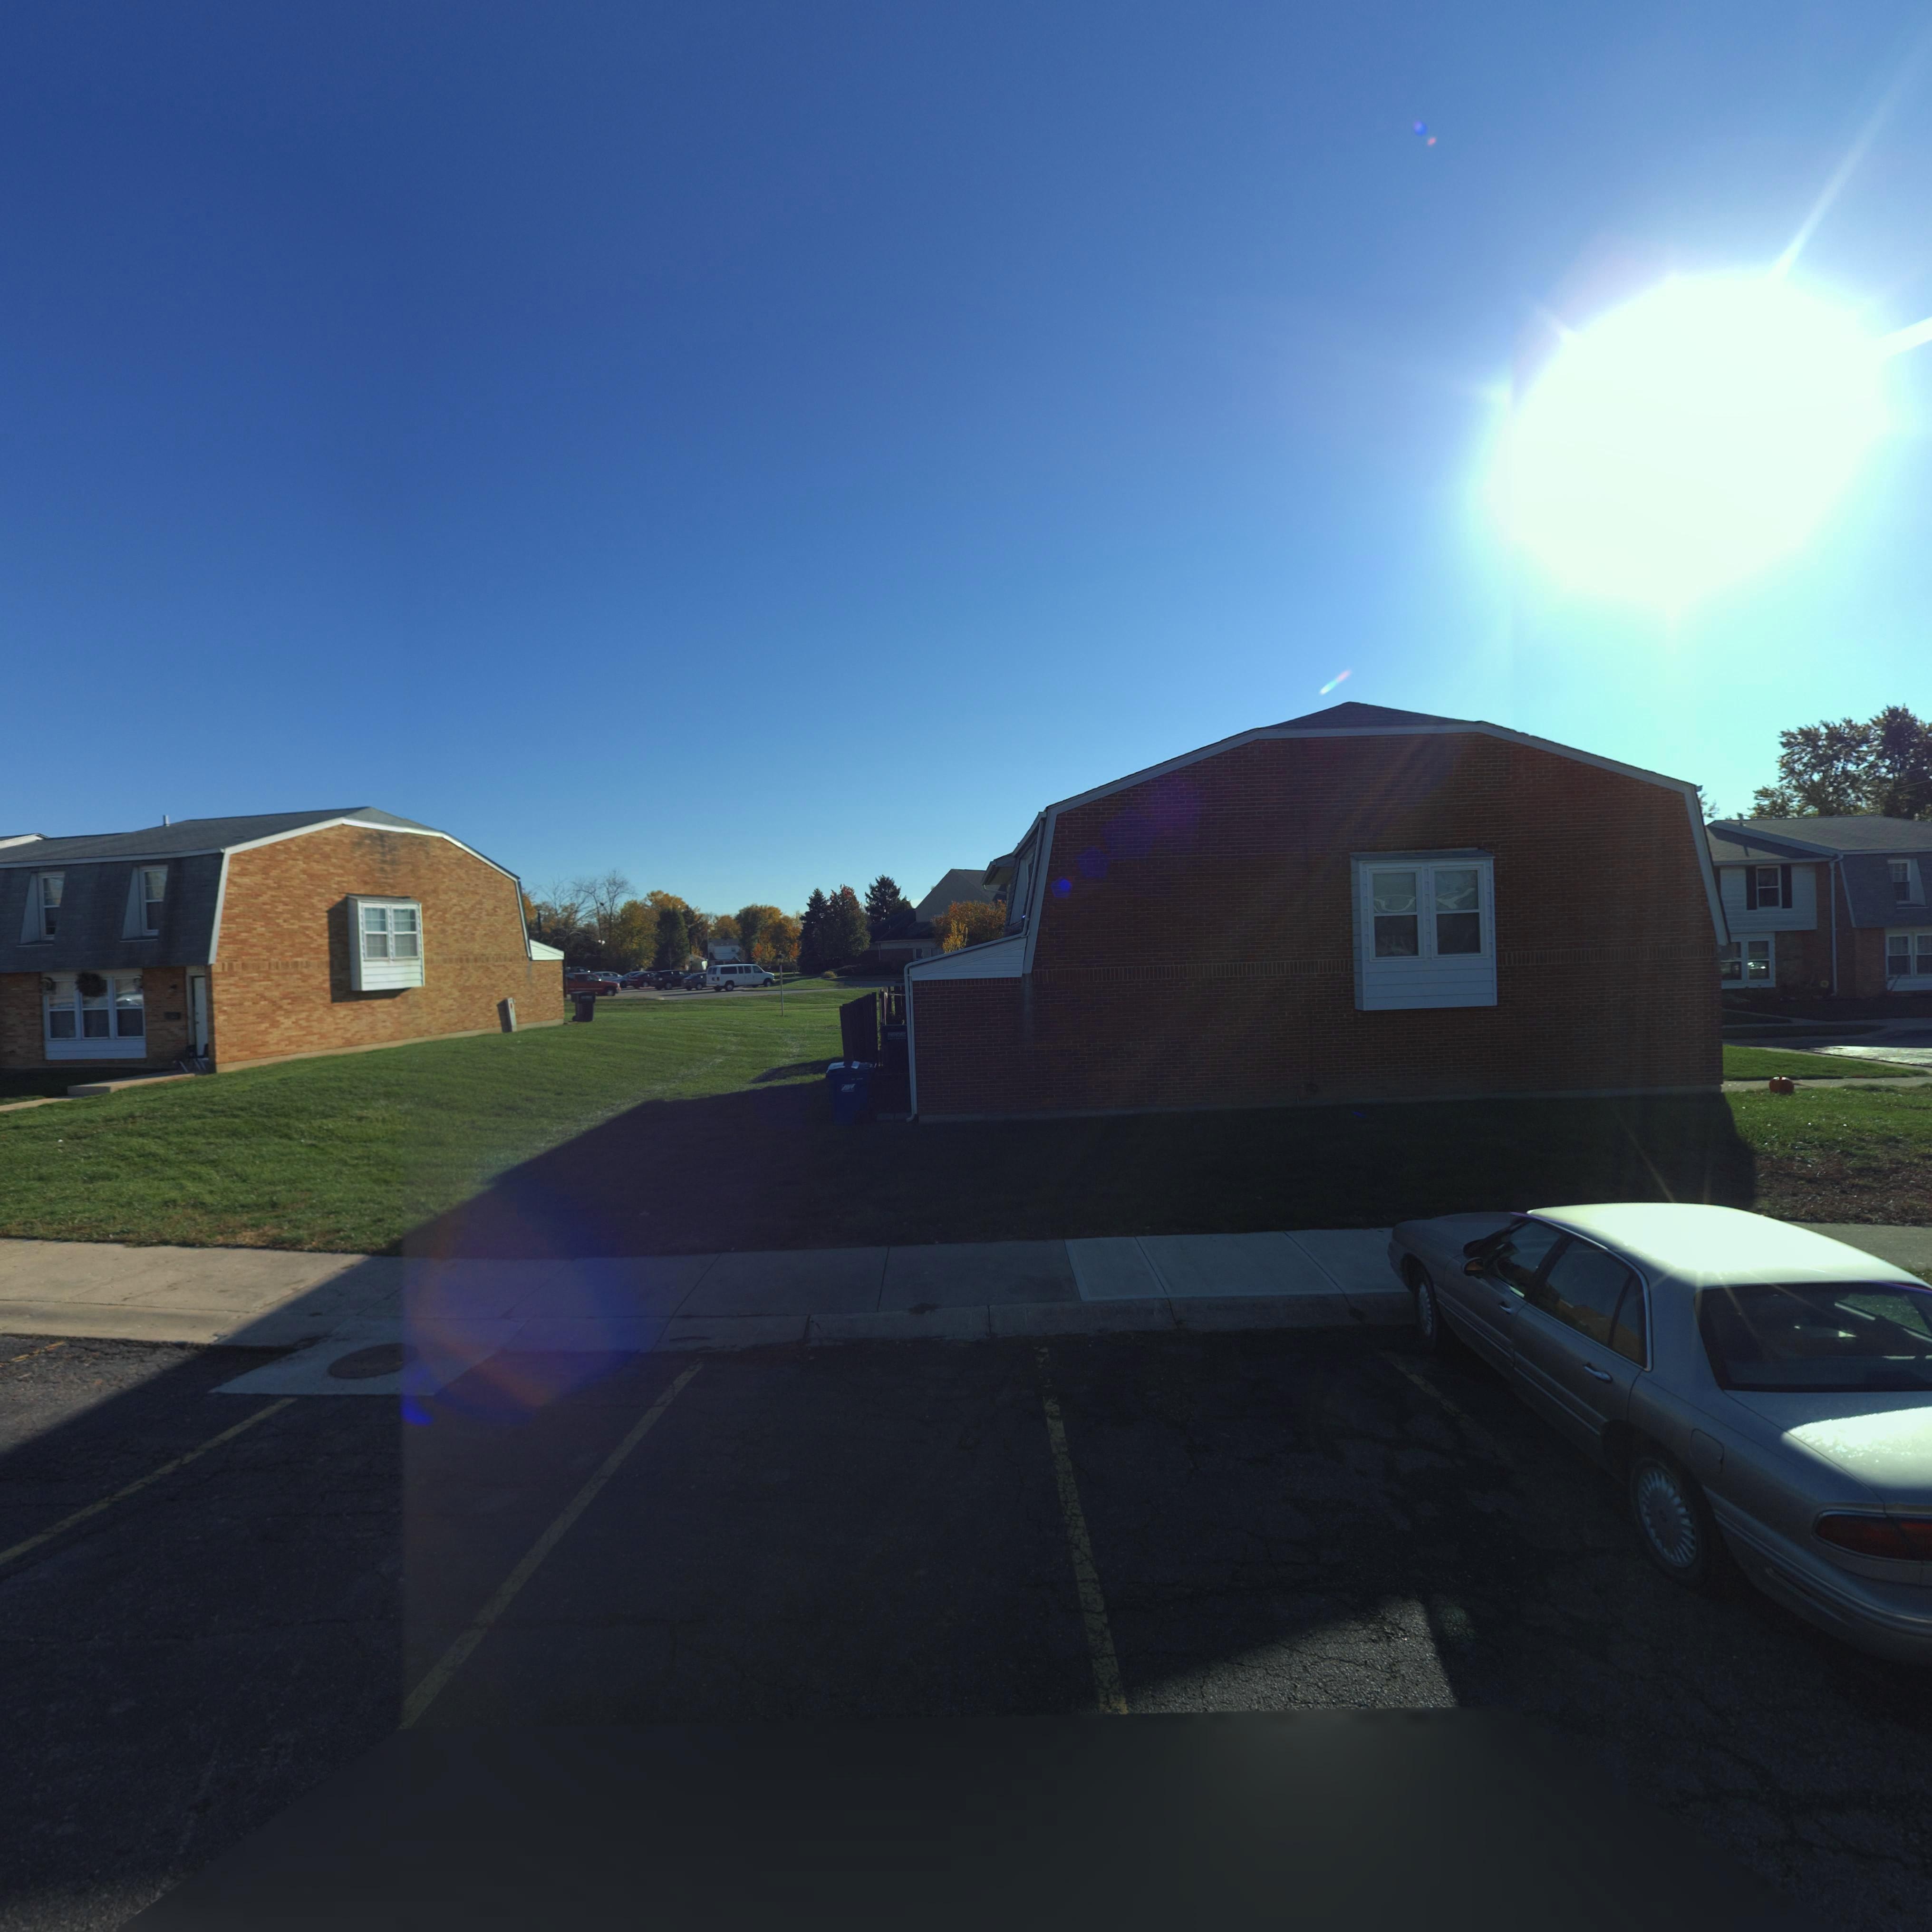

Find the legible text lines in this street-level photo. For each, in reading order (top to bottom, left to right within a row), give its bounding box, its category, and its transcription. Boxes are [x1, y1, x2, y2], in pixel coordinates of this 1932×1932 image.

[195, 965, 200, 970] StreetNumber: 7